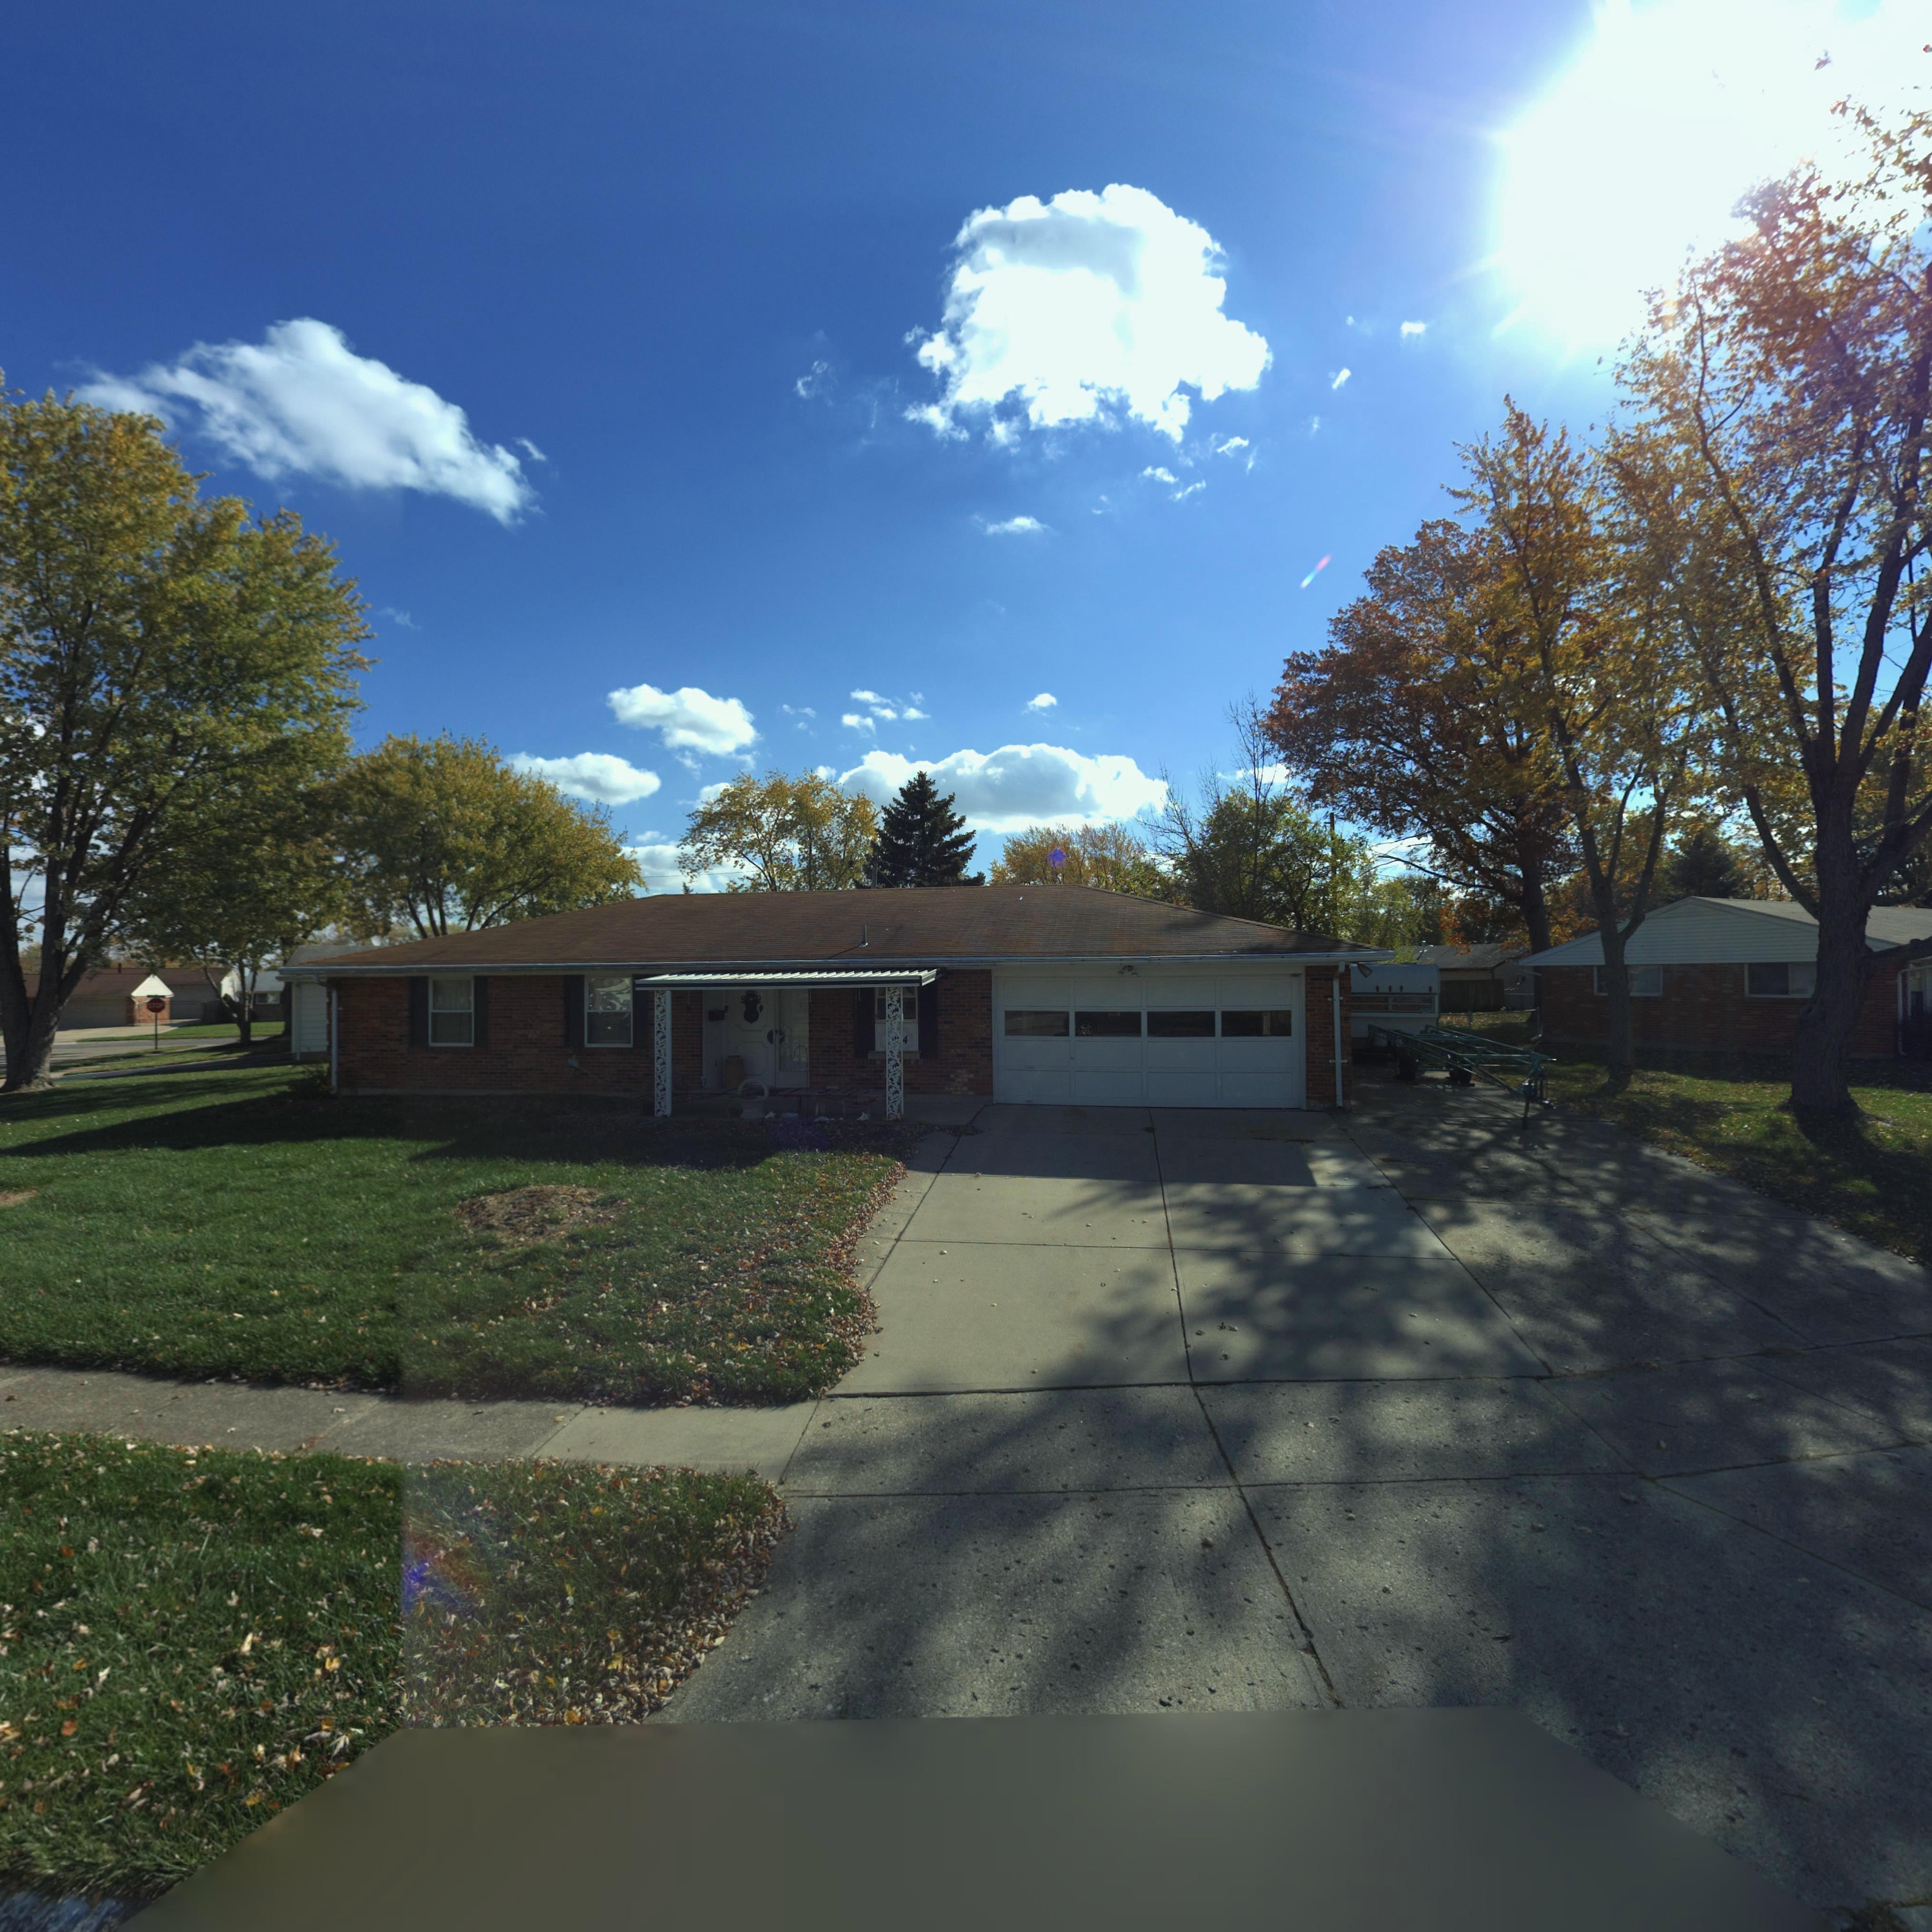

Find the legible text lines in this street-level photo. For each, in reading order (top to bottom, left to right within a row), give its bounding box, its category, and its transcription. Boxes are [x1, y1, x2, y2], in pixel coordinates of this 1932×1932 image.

[901, 1034, 909, 1045] StreetNumber: 4